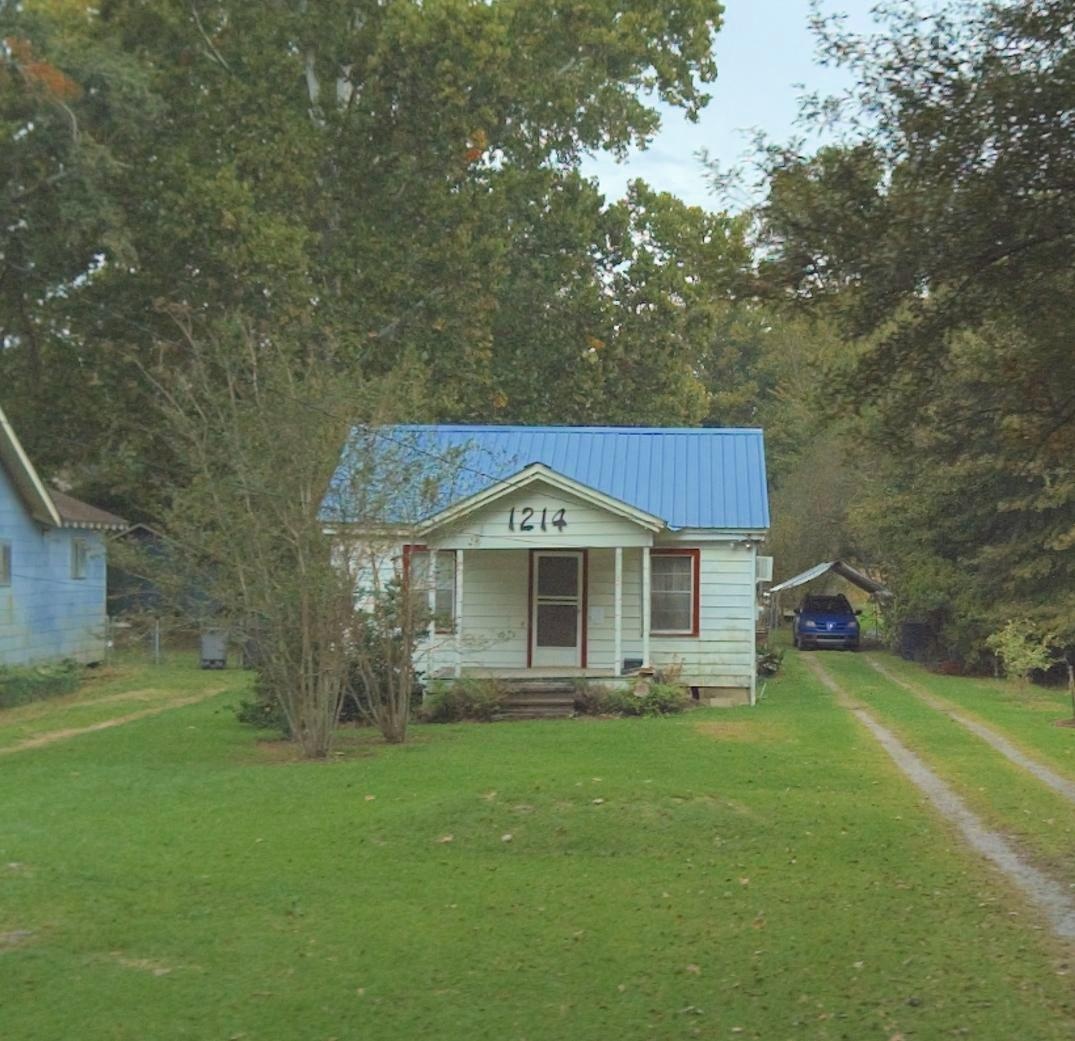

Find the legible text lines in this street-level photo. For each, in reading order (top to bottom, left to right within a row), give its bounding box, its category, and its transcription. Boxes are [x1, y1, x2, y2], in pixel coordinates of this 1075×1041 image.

[507, 506, 569, 533] StreetNumber: 1214